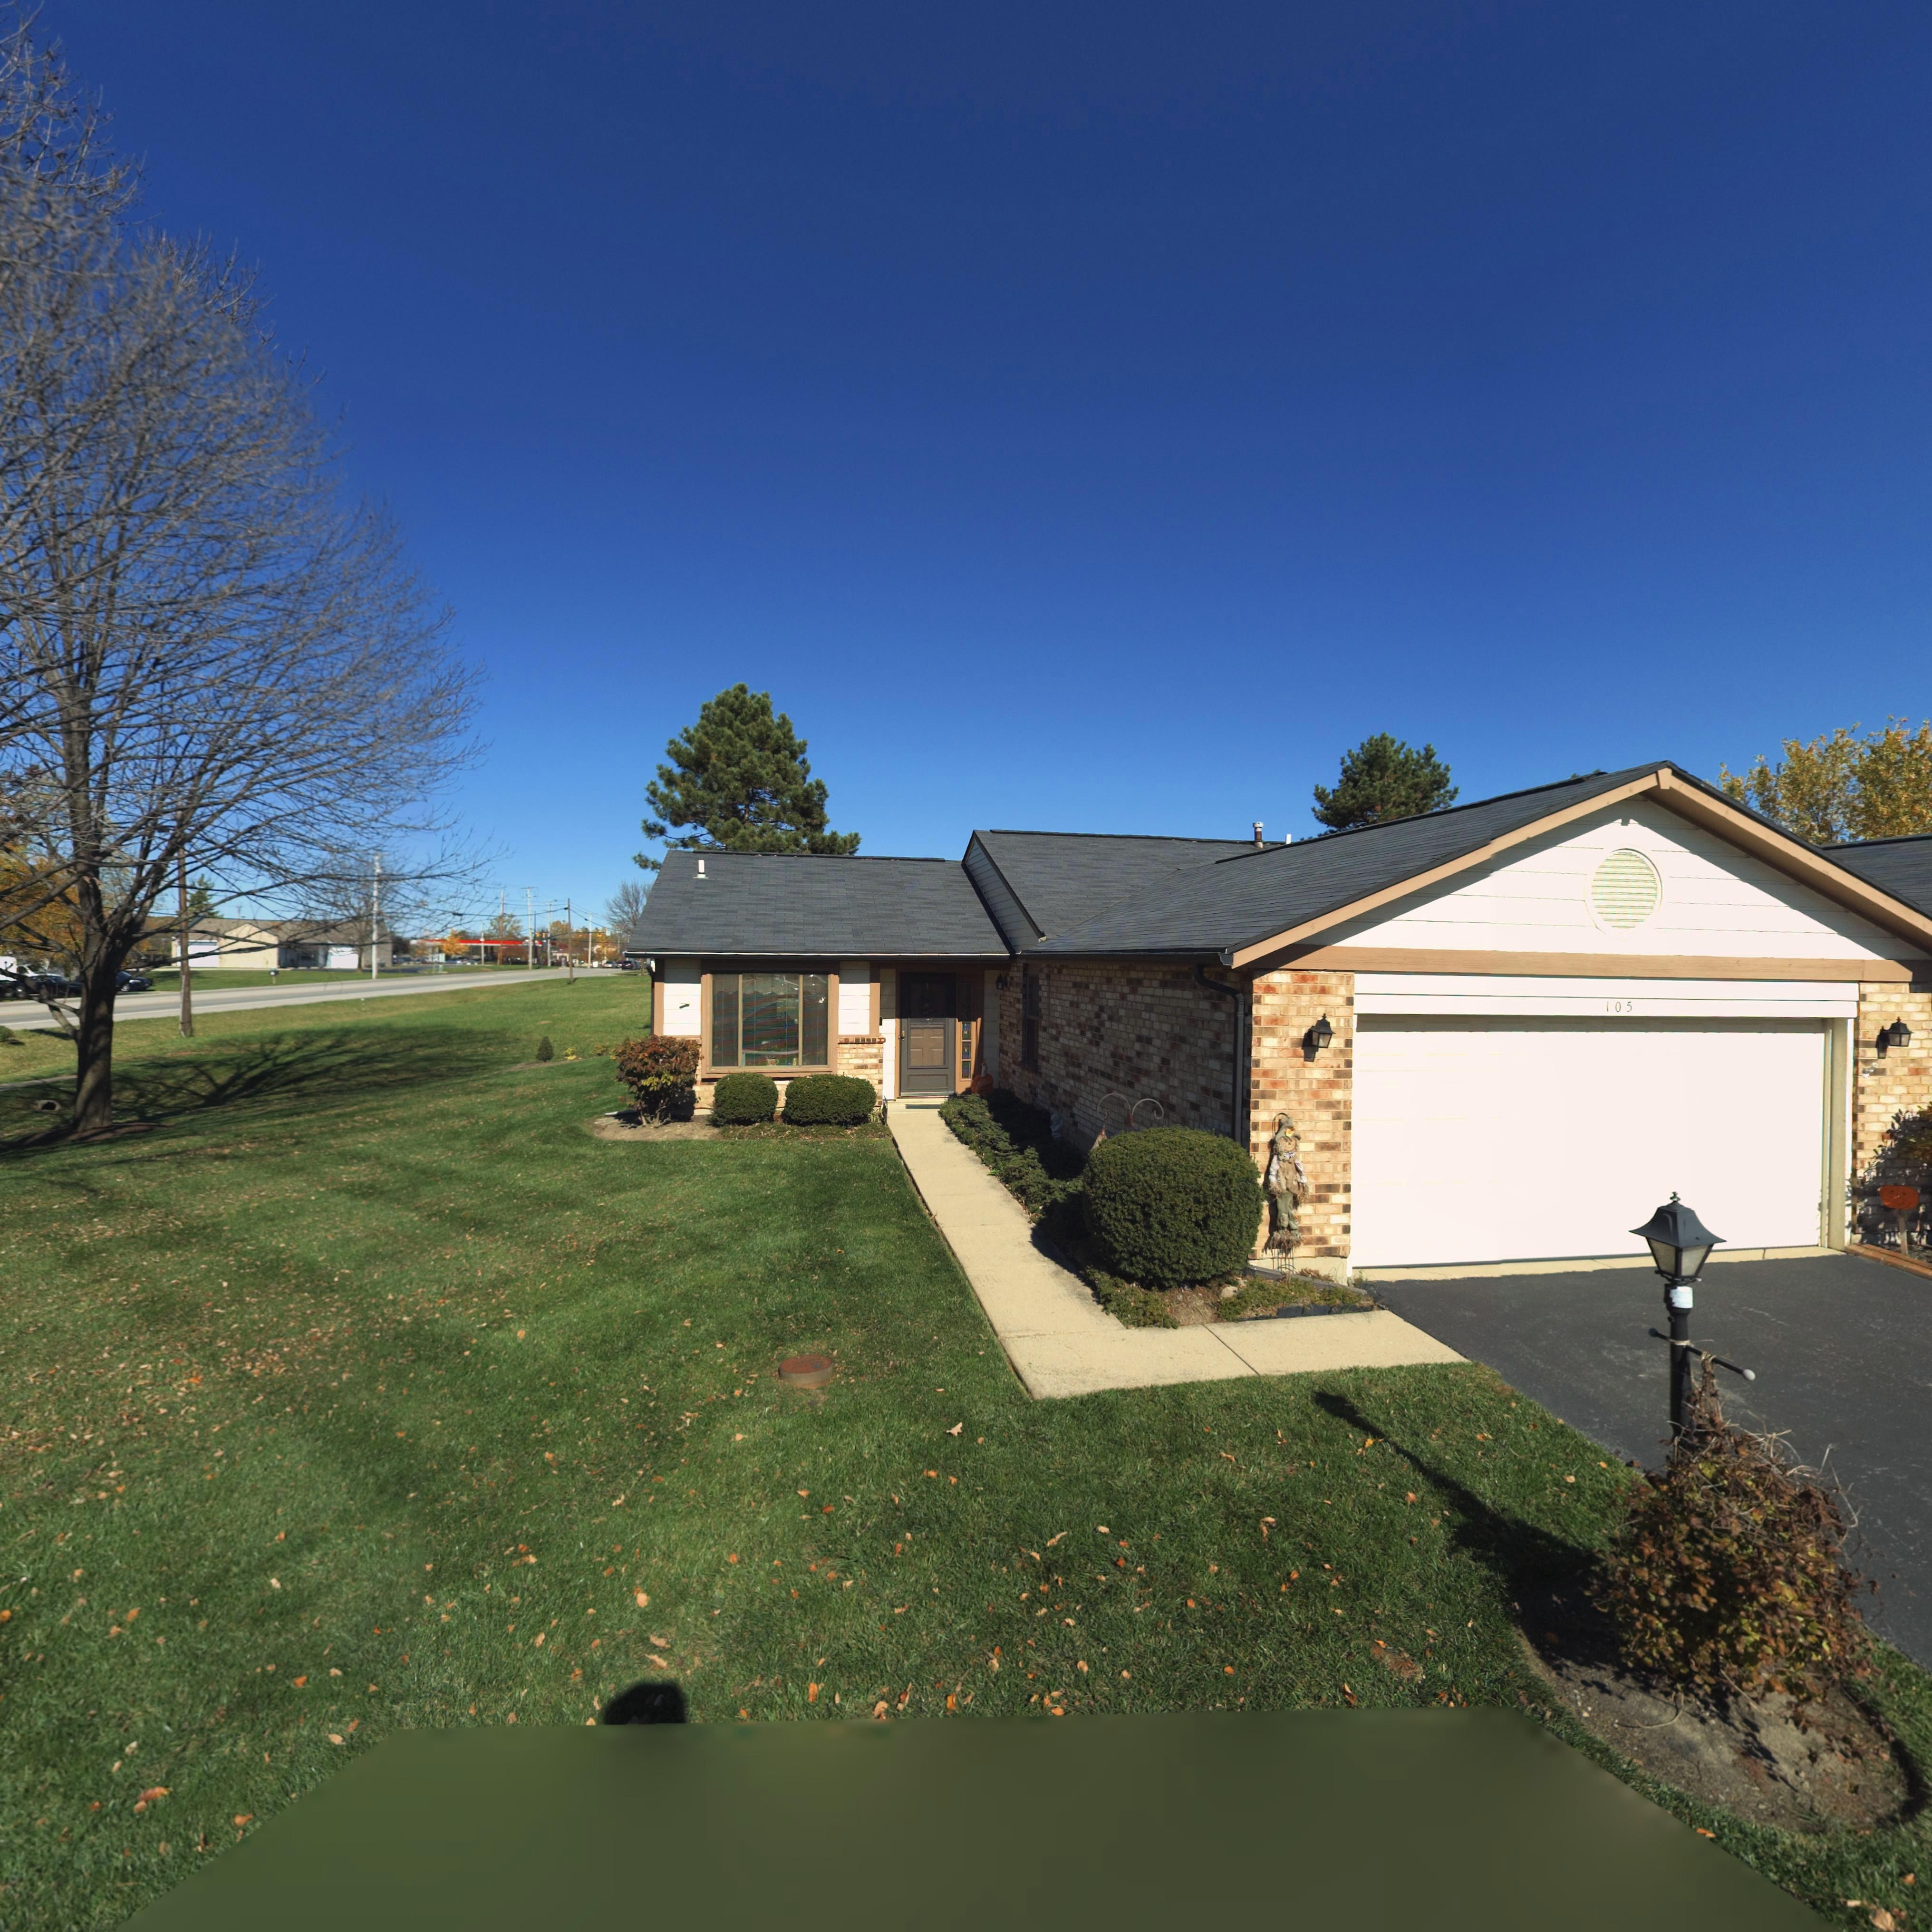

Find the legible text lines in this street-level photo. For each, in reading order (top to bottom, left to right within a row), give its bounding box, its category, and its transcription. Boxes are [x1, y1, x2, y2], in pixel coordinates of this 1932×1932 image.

[1605, 1000, 1633, 1014] StreetNumber: 105